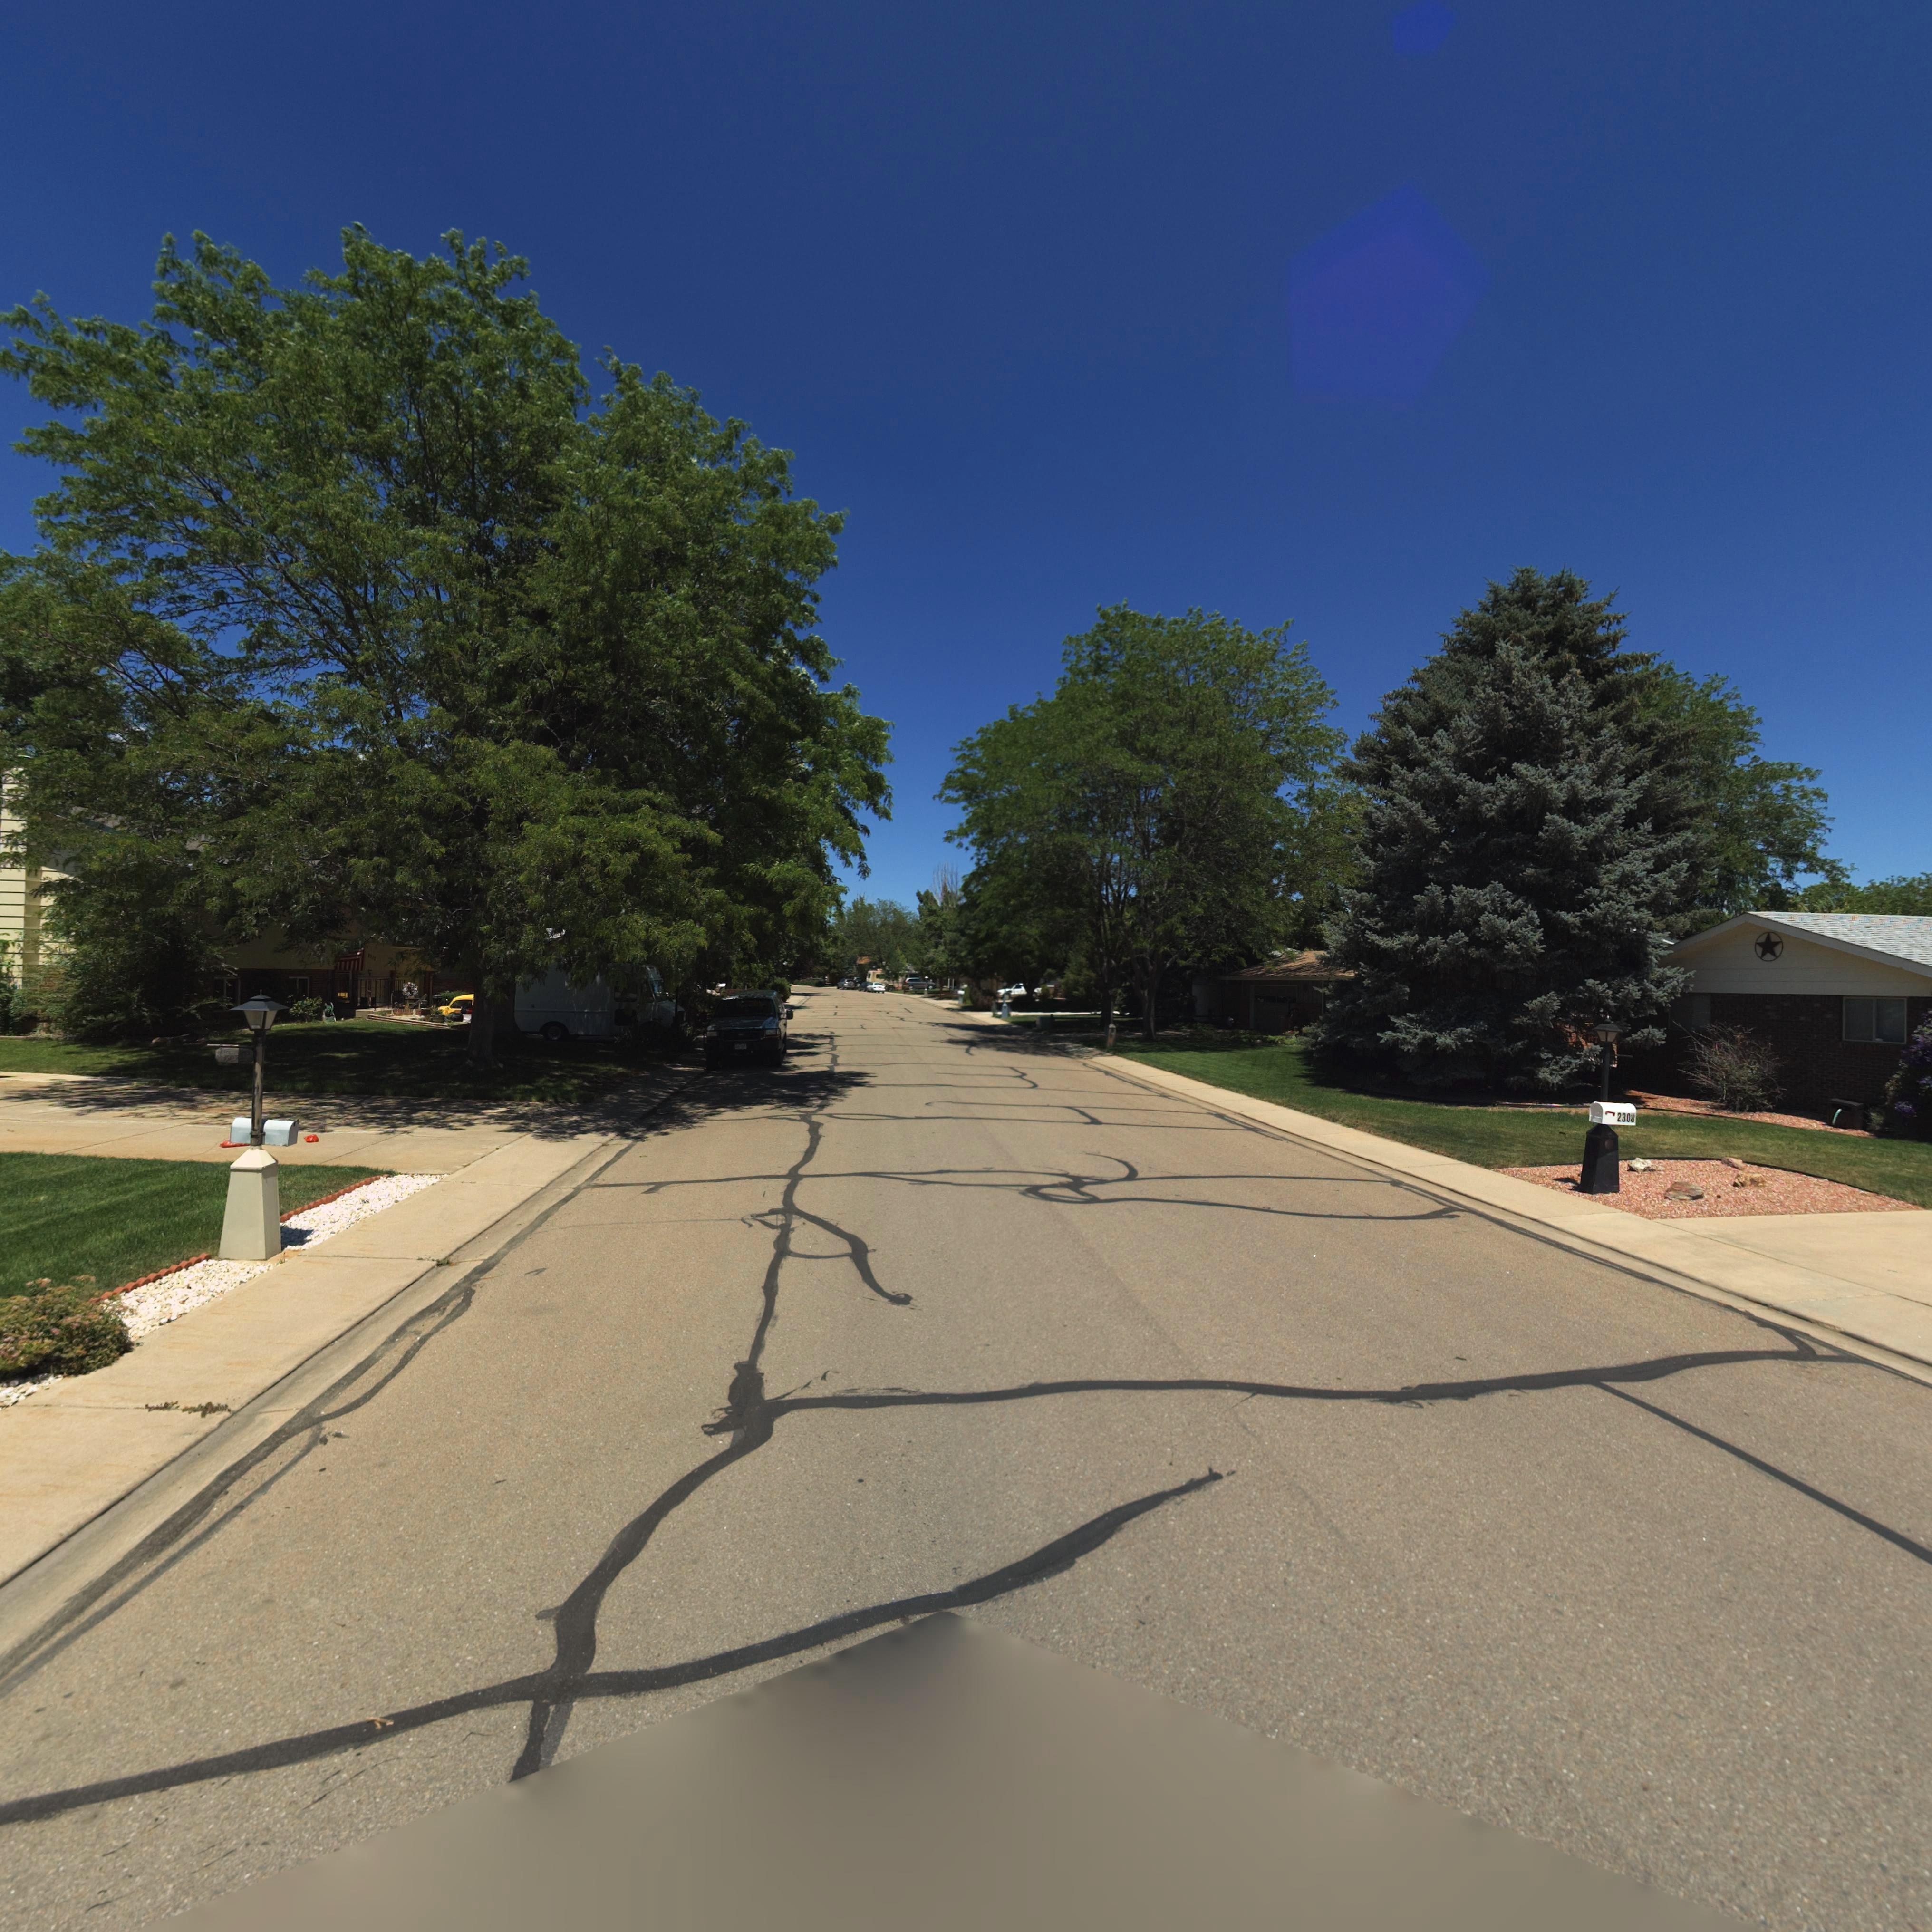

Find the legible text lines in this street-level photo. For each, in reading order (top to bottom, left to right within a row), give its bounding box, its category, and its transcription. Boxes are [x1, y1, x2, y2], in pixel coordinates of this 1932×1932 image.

[1616, 1111, 1635, 1122] StreetNumber: 2308